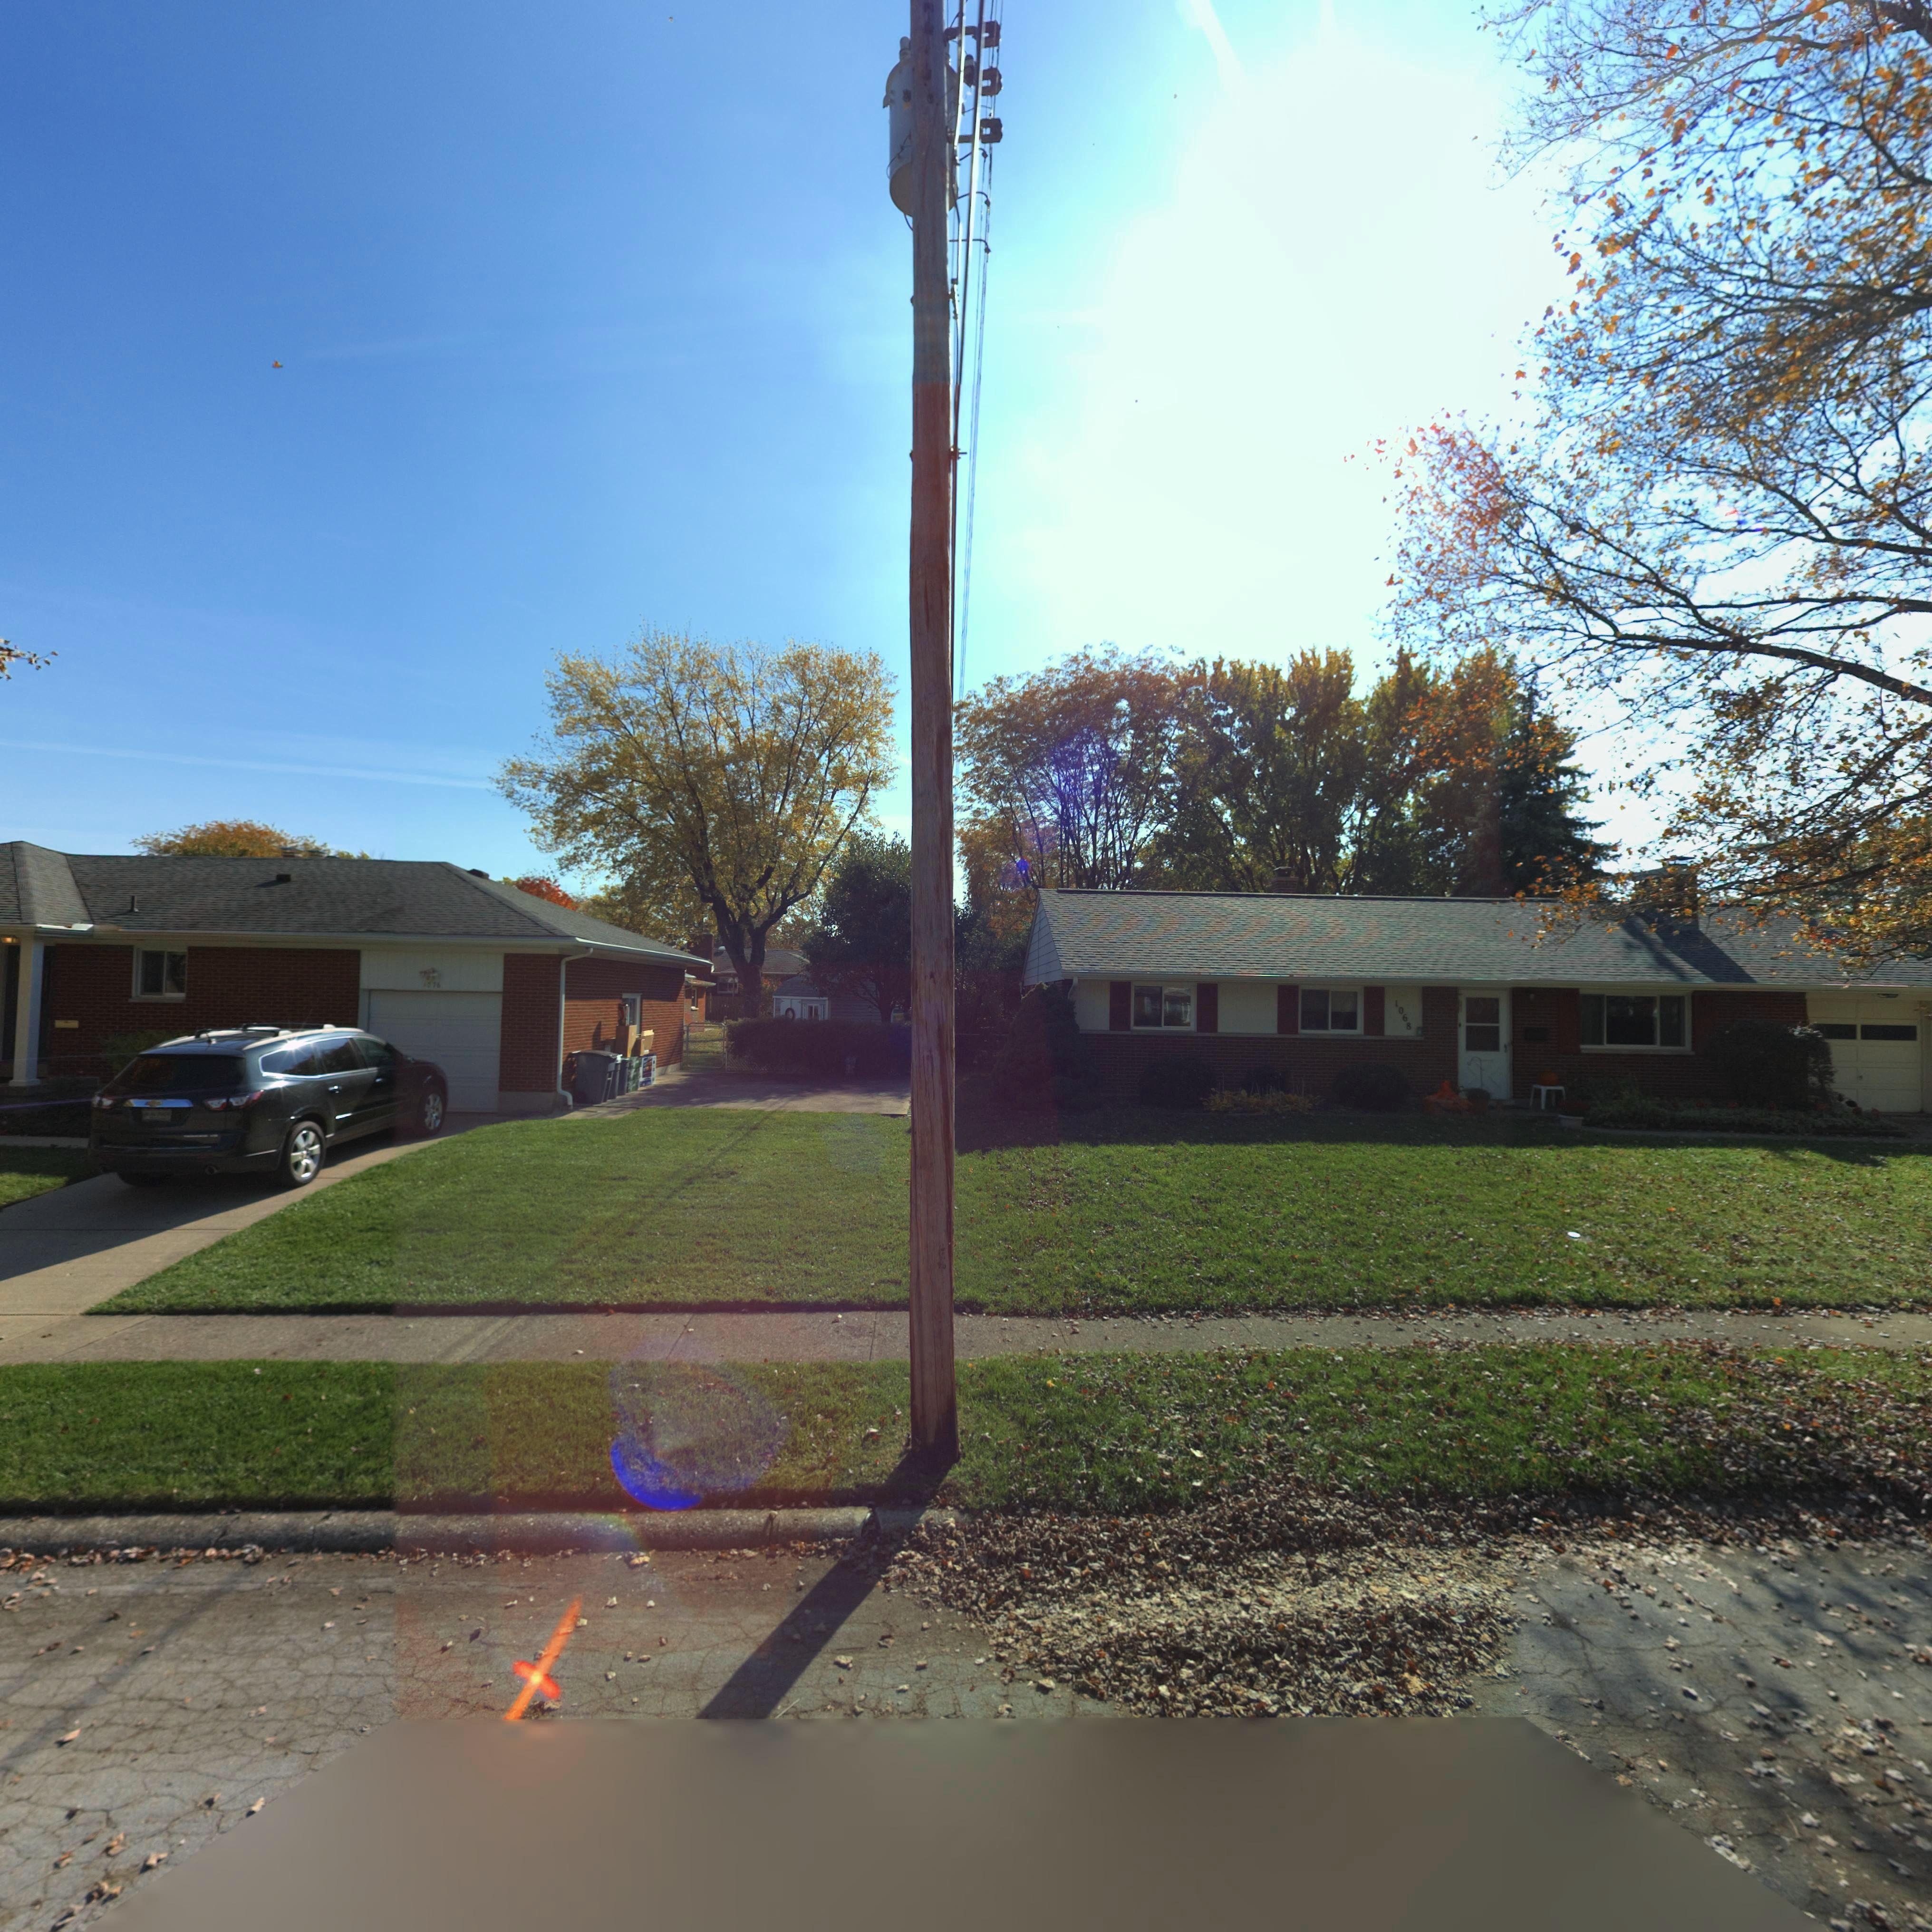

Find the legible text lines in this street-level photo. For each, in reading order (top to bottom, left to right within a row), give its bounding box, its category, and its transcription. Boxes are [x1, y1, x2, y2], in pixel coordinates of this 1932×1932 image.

[423, 980, 442, 989] StreetNumber: 1076
[1394, 998, 1412, 1030] StreetNumber: 1068